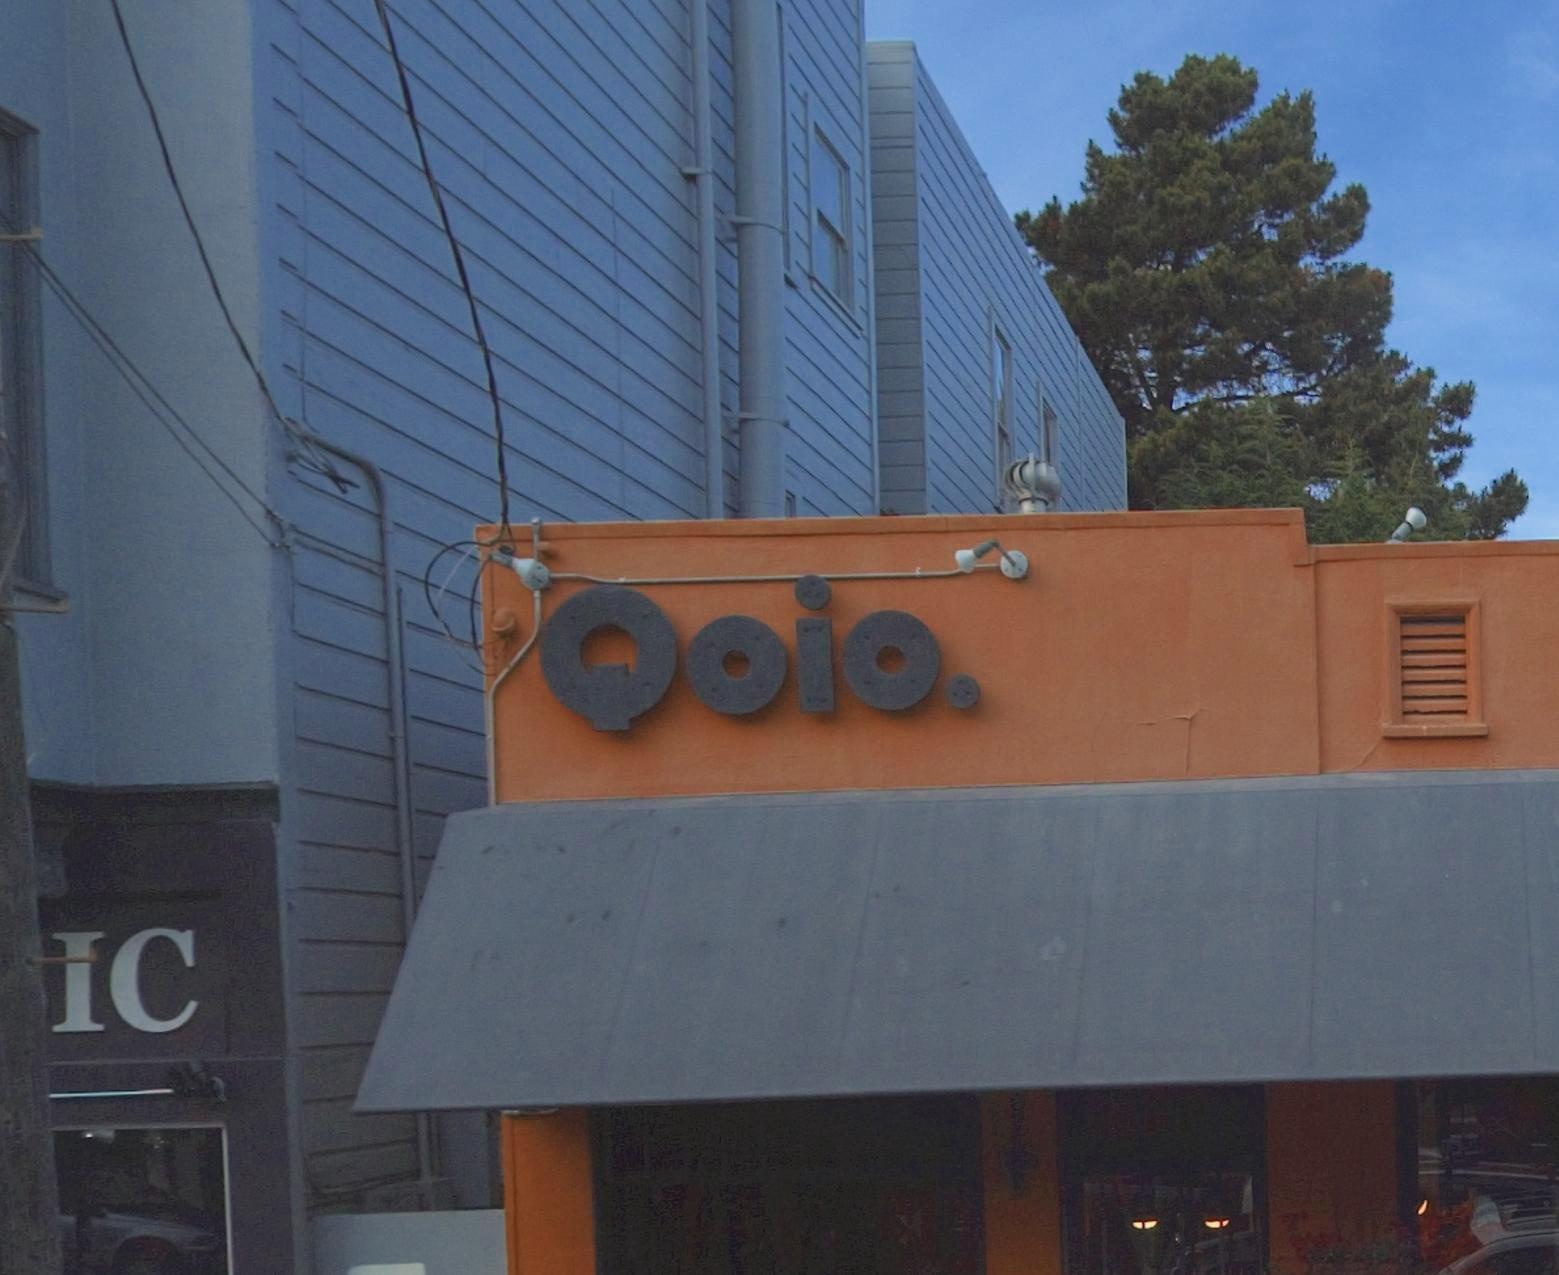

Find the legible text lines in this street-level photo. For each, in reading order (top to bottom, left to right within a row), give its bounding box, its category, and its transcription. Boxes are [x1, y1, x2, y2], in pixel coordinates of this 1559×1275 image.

[536, 574, 982, 734] BusinessName: Qoio.
[50, 926, 199, 1034] BusinessName: IC